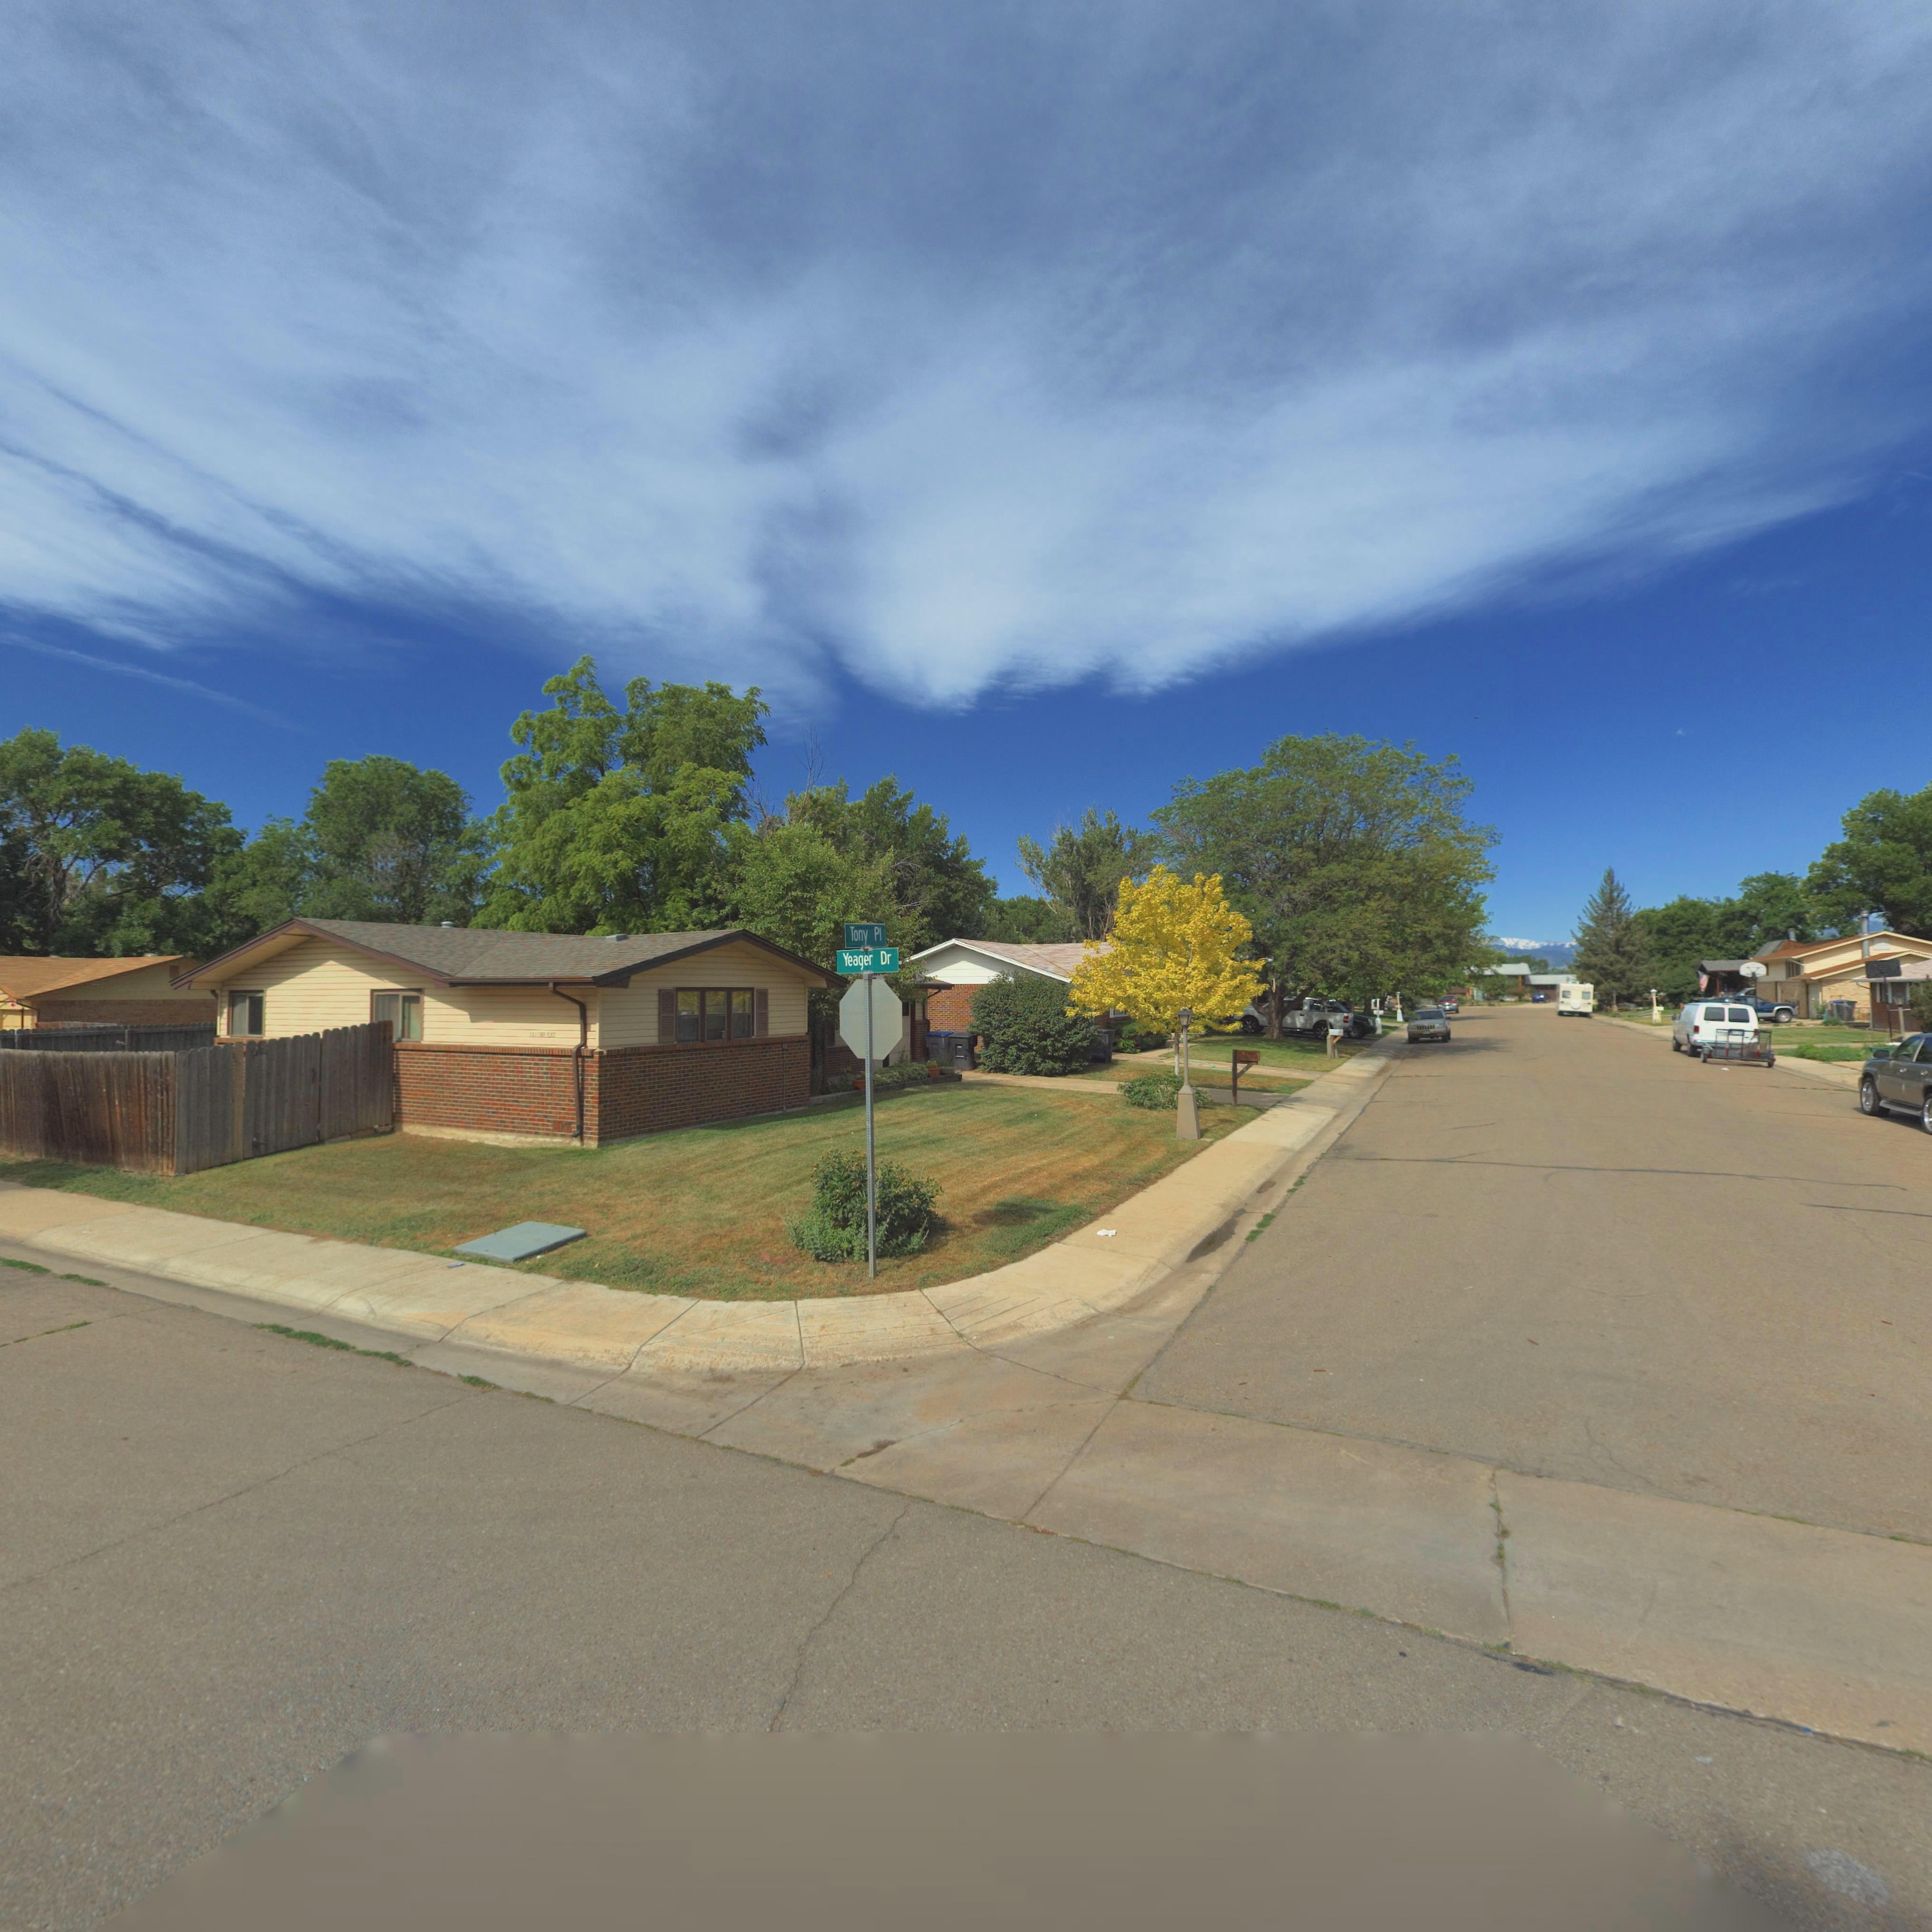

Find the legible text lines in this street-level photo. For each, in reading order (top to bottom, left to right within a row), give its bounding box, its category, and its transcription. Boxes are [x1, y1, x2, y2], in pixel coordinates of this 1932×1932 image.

[849, 926, 882, 946] StreetName: Tony Pl
[842, 950, 891, 970] StreetName: Yeager Dr